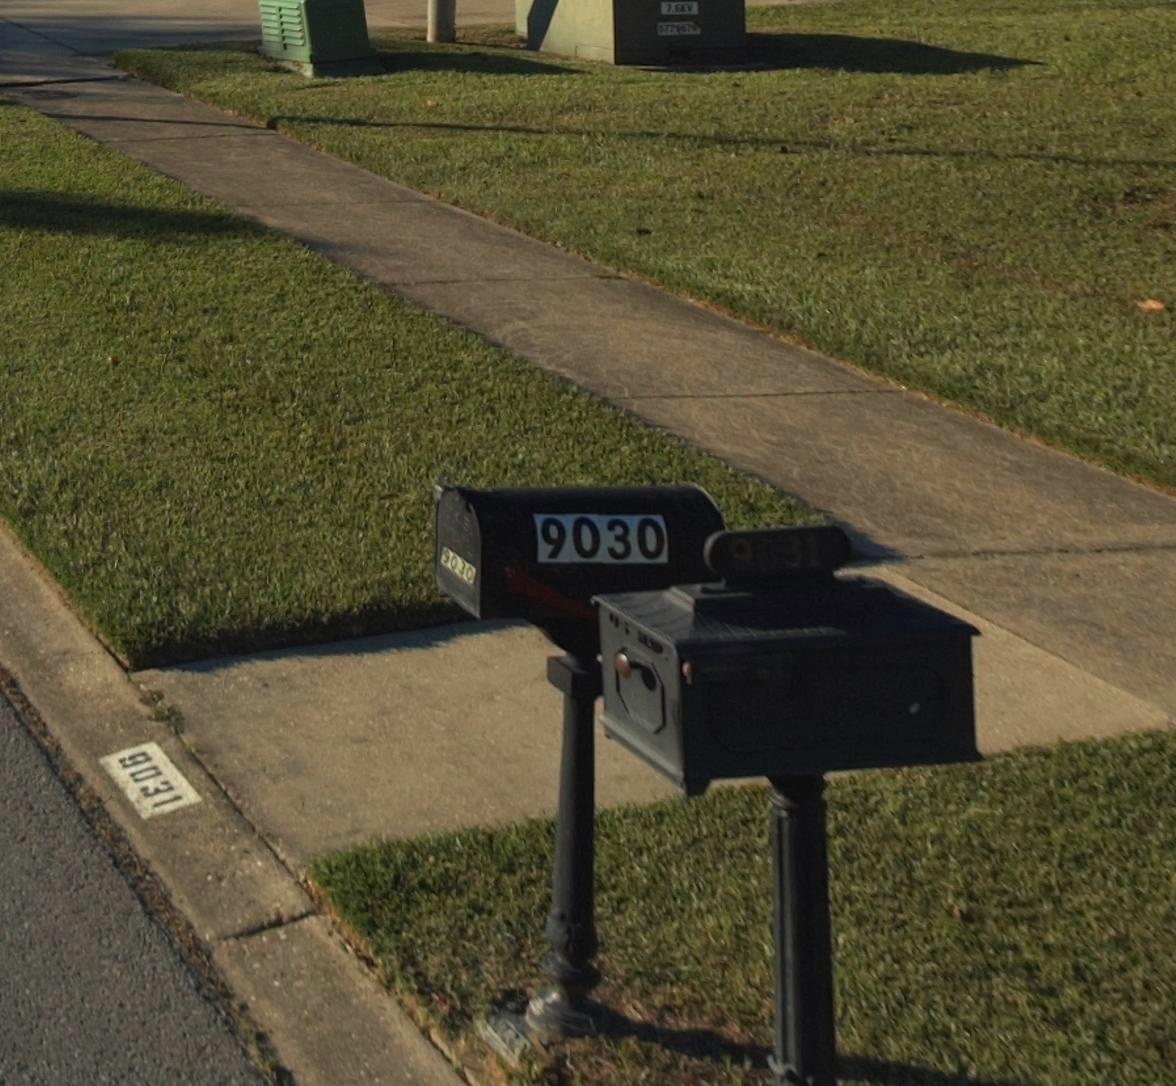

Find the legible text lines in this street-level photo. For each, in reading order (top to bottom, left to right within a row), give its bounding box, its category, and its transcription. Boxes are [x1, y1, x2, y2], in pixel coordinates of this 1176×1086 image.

[442, 548, 475, 583] StreetNumber: 9030
[538, 517, 667, 560] StreetNumber: 9030
[727, 533, 825, 576] StreetNumber: 9031
[116, 749, 188, 811] StreetNumber: 9031